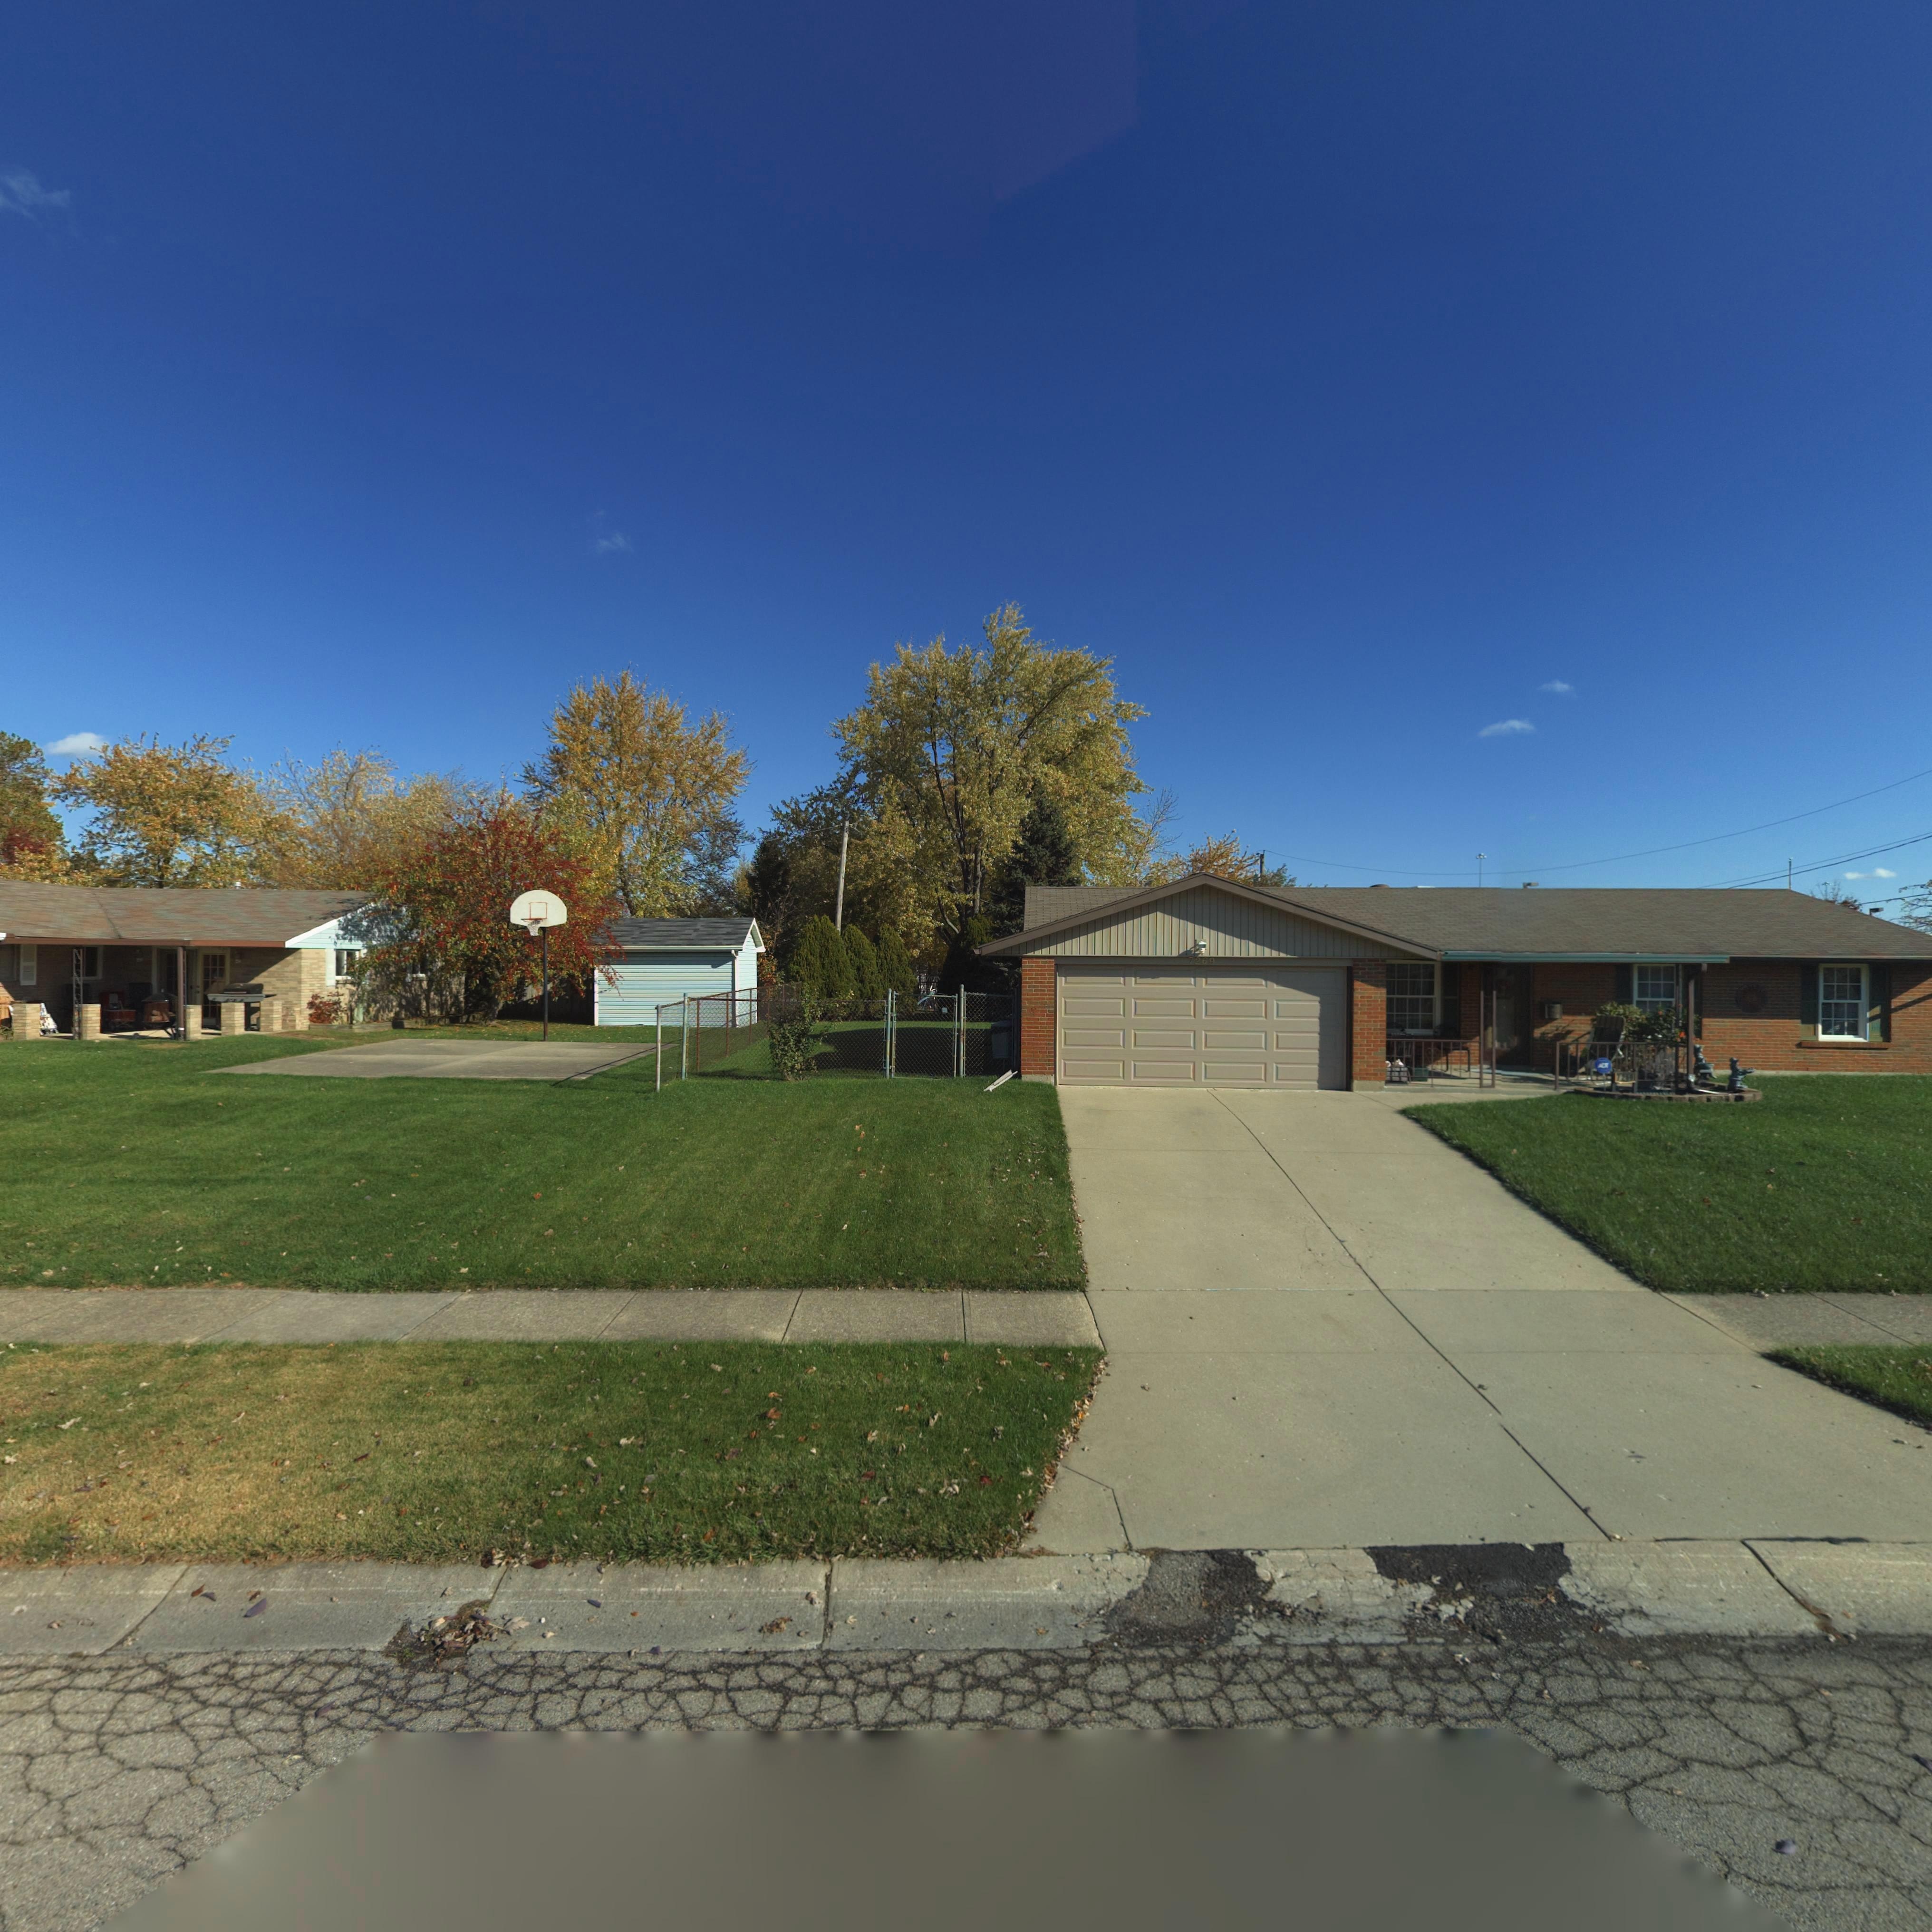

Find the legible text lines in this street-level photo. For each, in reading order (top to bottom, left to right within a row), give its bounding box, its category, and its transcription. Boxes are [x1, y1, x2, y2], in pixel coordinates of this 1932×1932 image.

[1188, 956, 1216, 966] StreetNumber: 7269
[1615, 1072, 1634, 1082] StreetNumber: *2**